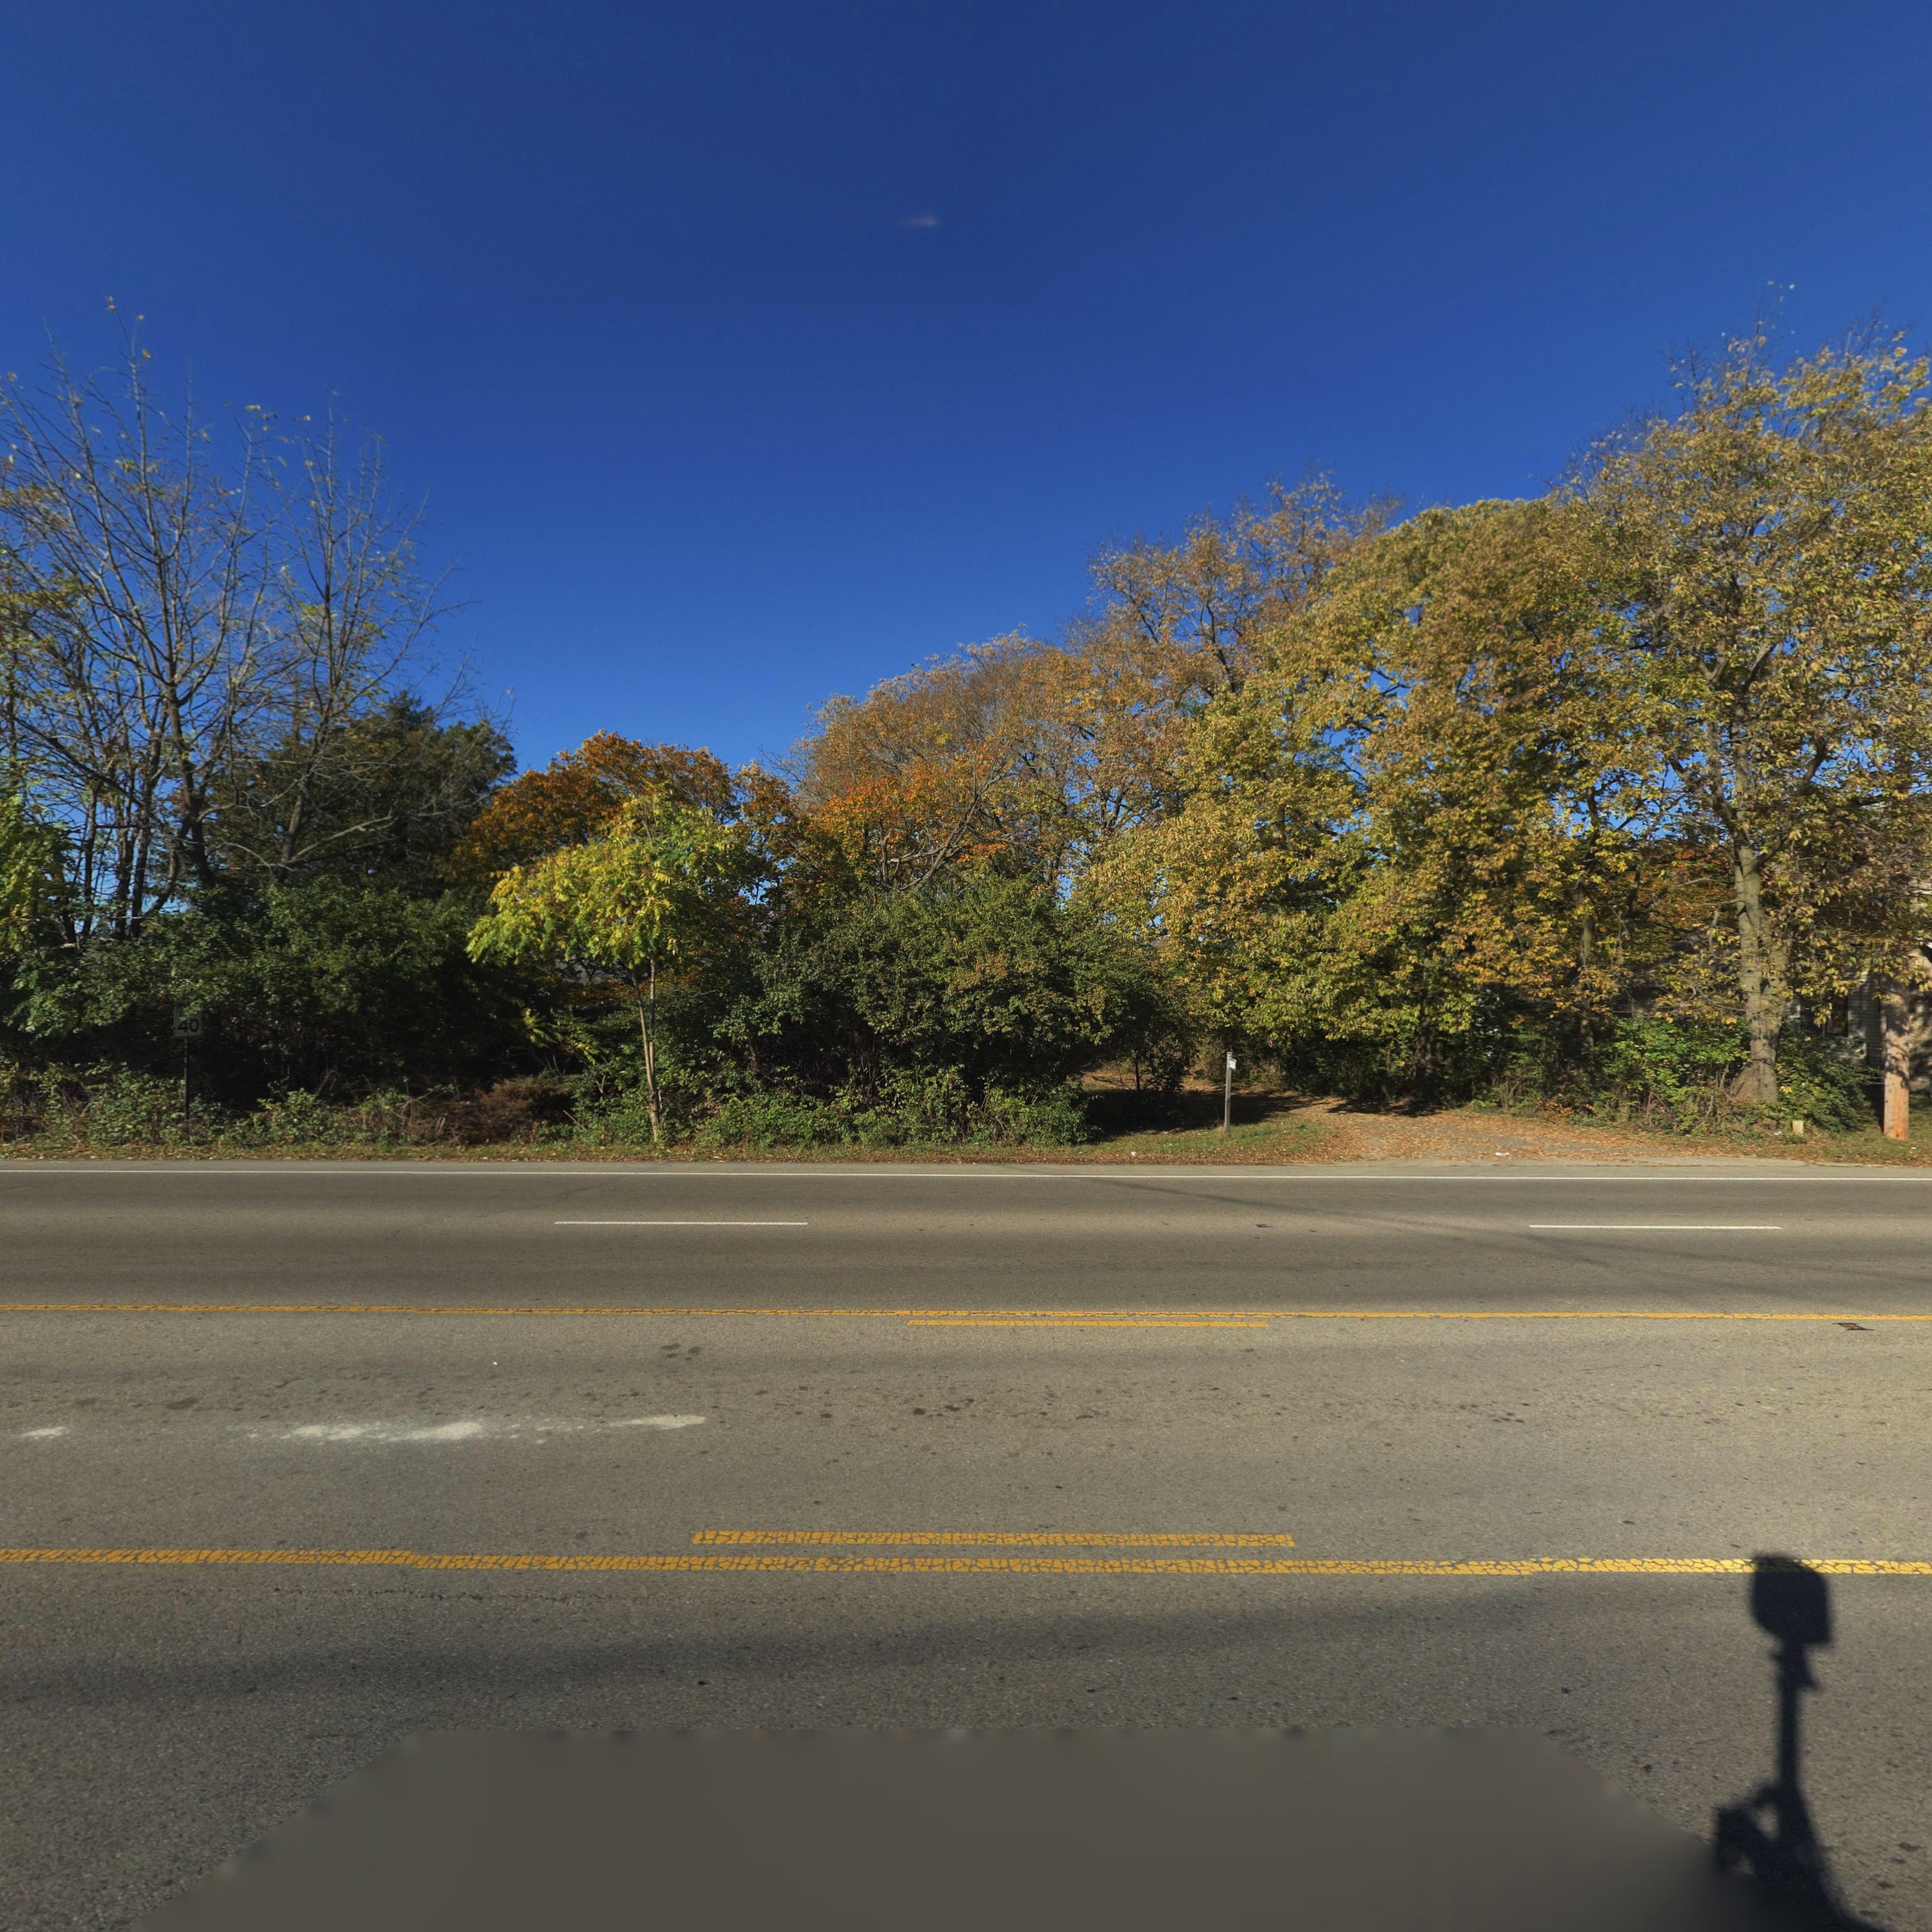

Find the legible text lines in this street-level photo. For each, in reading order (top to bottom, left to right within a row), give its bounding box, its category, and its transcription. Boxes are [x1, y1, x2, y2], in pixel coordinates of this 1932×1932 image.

[1228, 1059, 1236, 1069] StreetNumber: 5**5